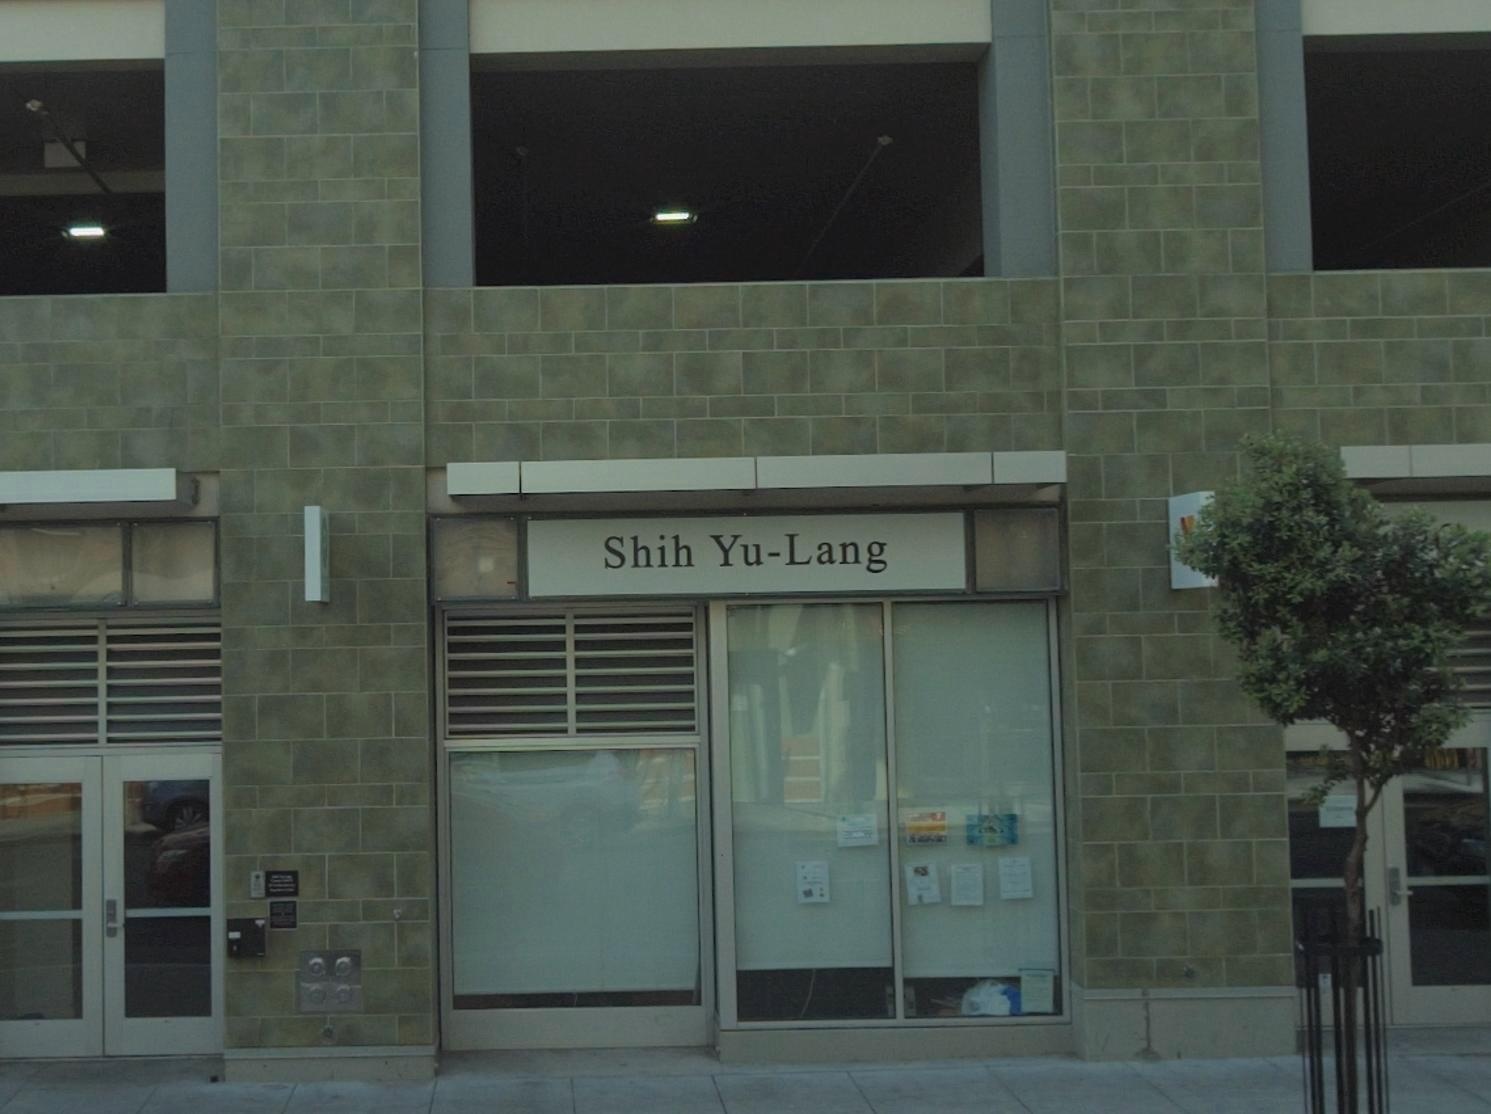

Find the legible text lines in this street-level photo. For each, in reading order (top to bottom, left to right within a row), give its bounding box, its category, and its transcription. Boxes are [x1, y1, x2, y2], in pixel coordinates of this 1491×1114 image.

[600, 529, 892, 576] BusinessName: Shih Yu-Lang